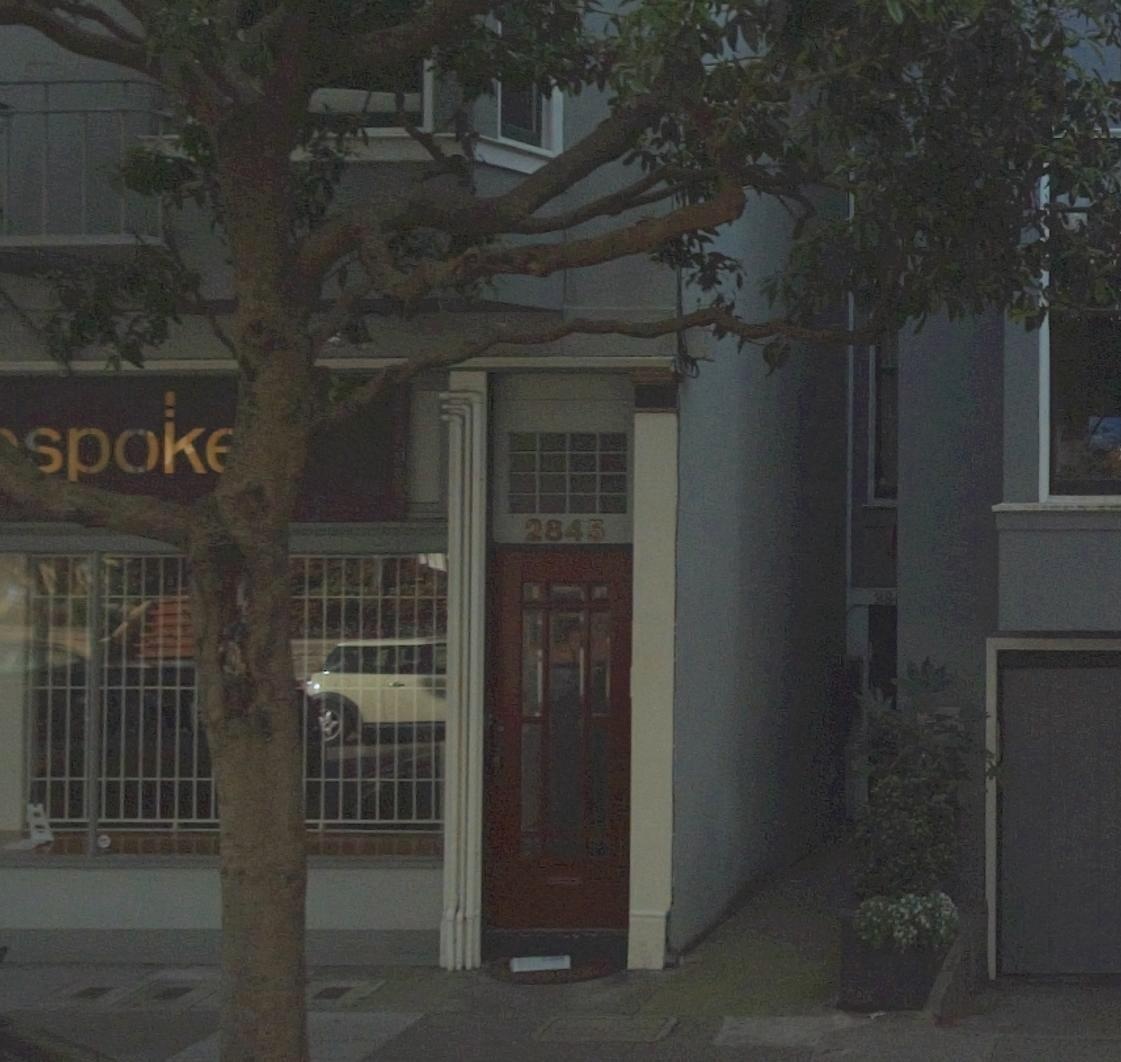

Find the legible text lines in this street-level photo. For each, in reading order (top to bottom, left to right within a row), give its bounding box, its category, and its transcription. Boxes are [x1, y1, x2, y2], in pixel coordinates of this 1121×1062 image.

[17, 382, 216, 487] BusinessName: spok
[523, 516, 607, 544] StreetNumber: 2845